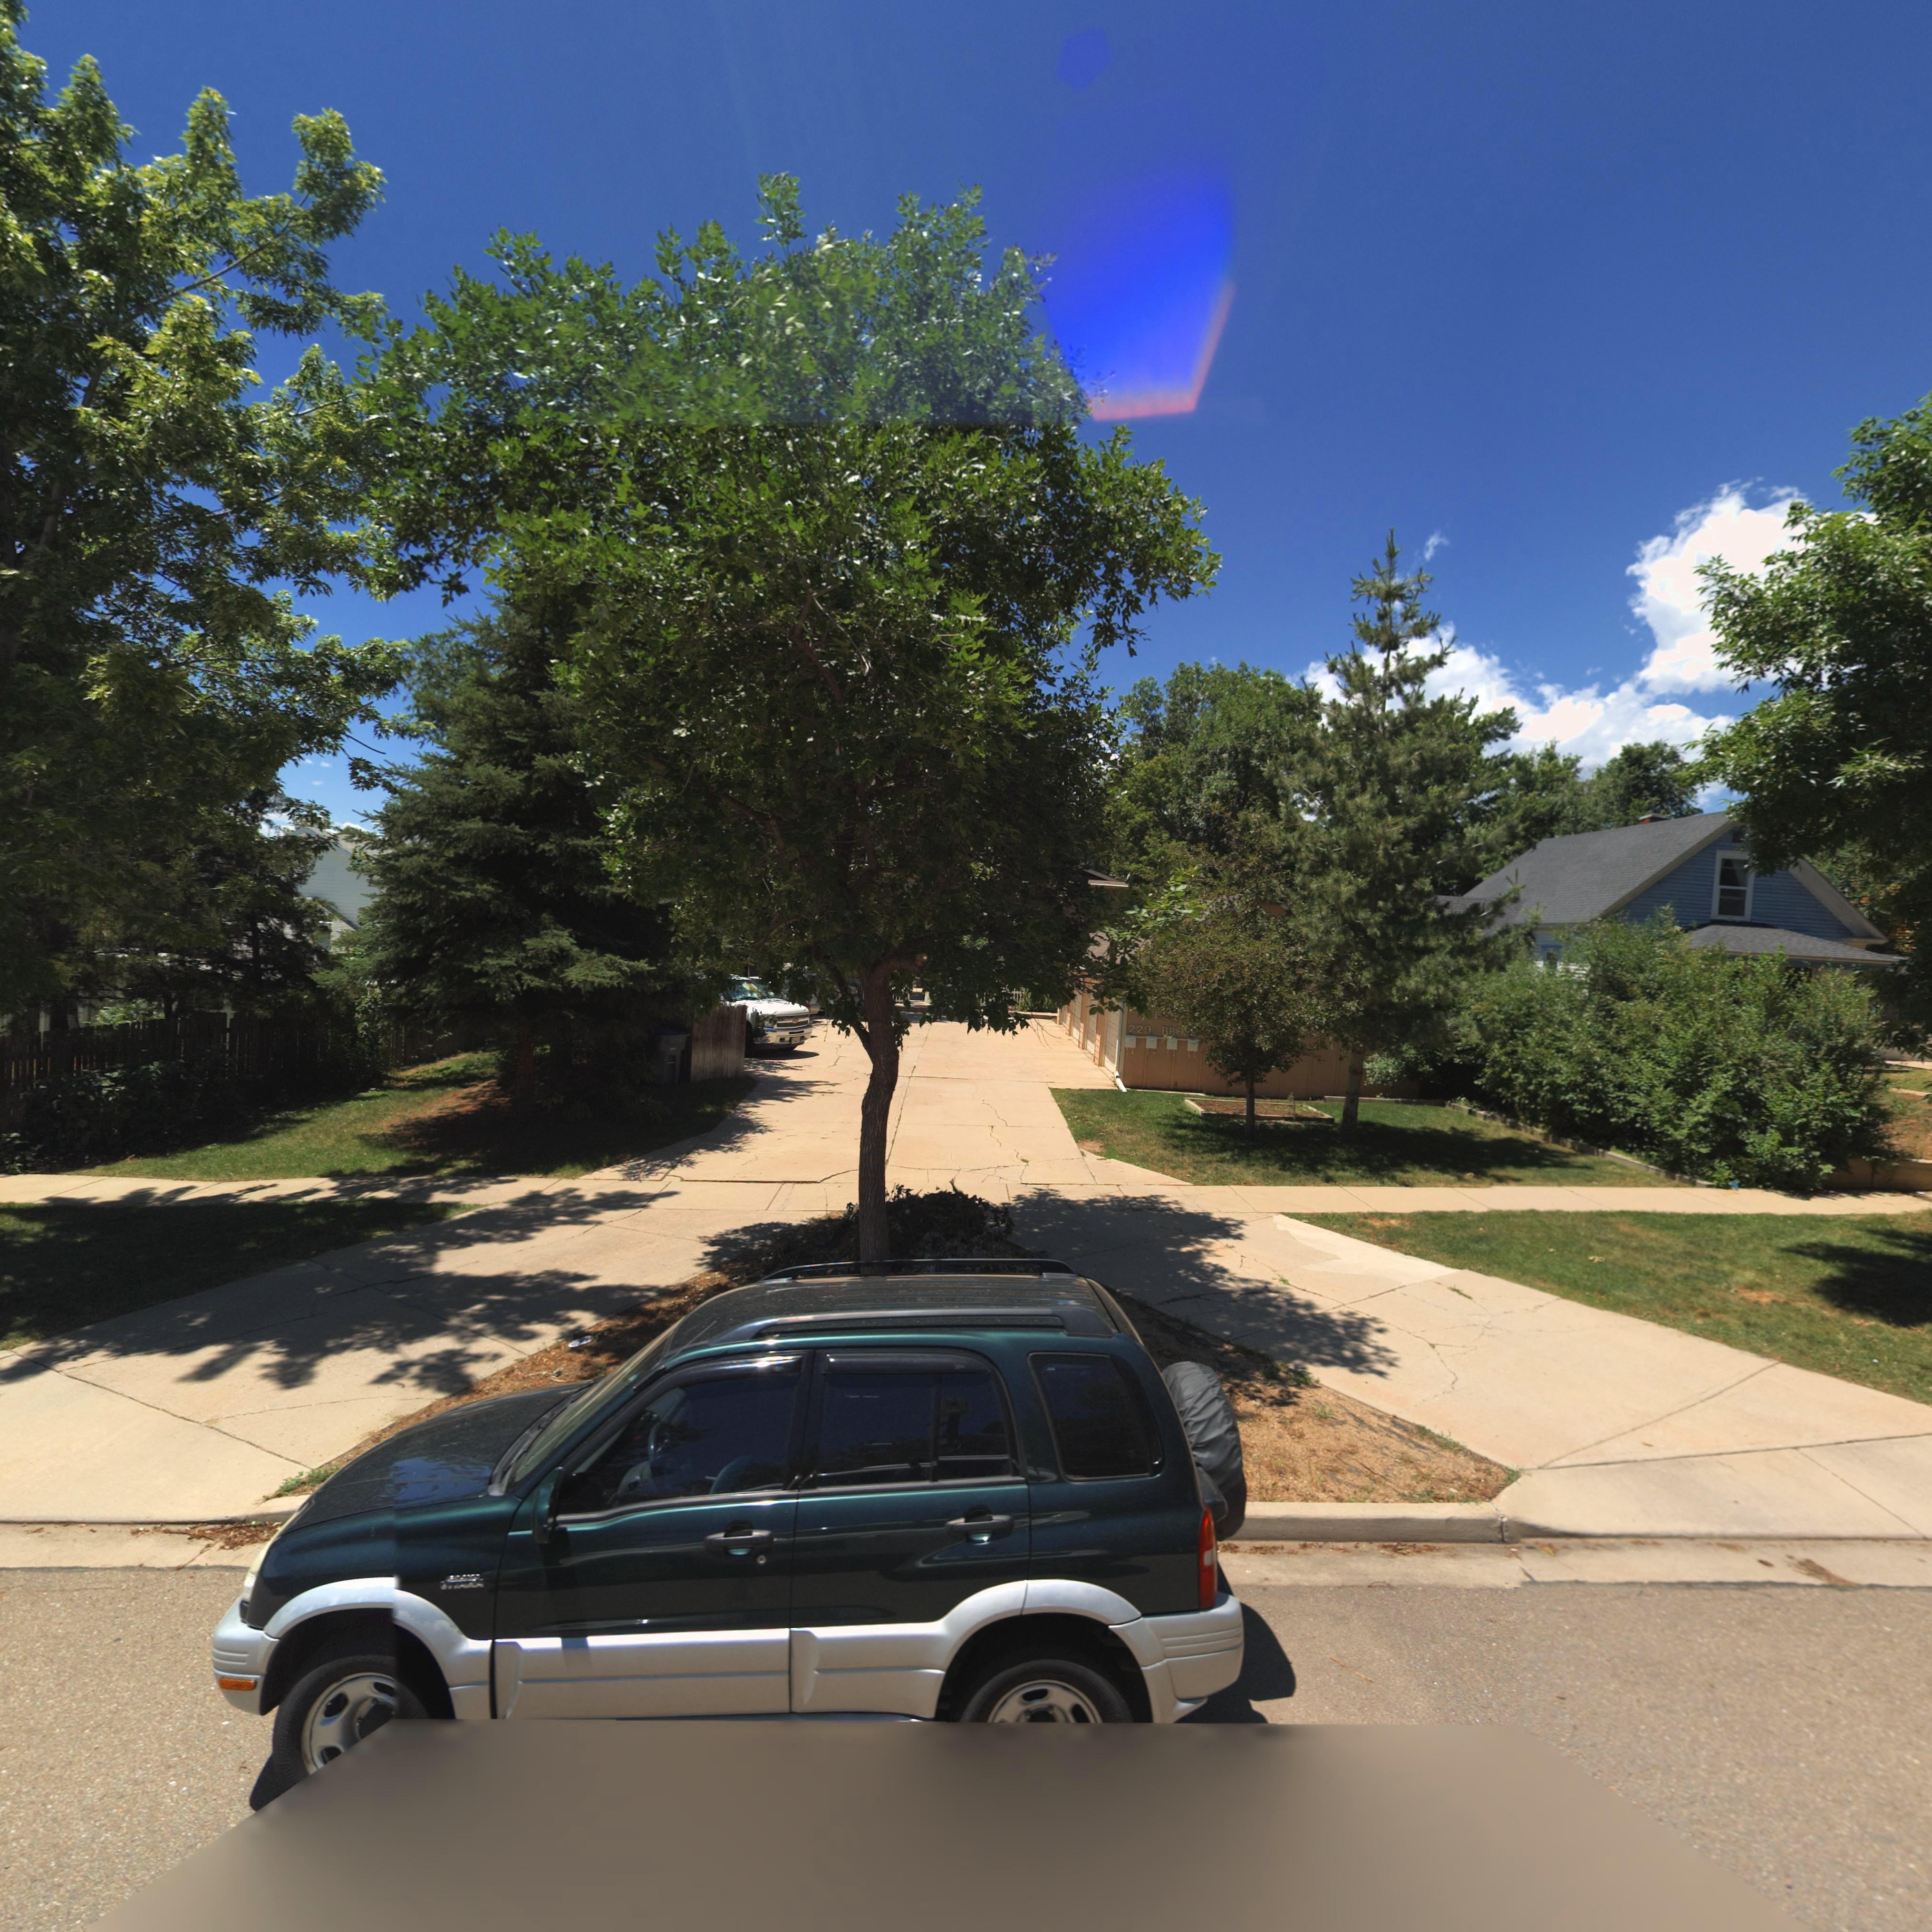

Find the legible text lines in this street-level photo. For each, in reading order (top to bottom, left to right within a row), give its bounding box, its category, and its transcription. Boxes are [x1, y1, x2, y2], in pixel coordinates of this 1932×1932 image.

[1128, 1024, 1151, 1034] StreetNumber: 229
[1161, 1026, 1206, 1037] StreetName: BRO** **